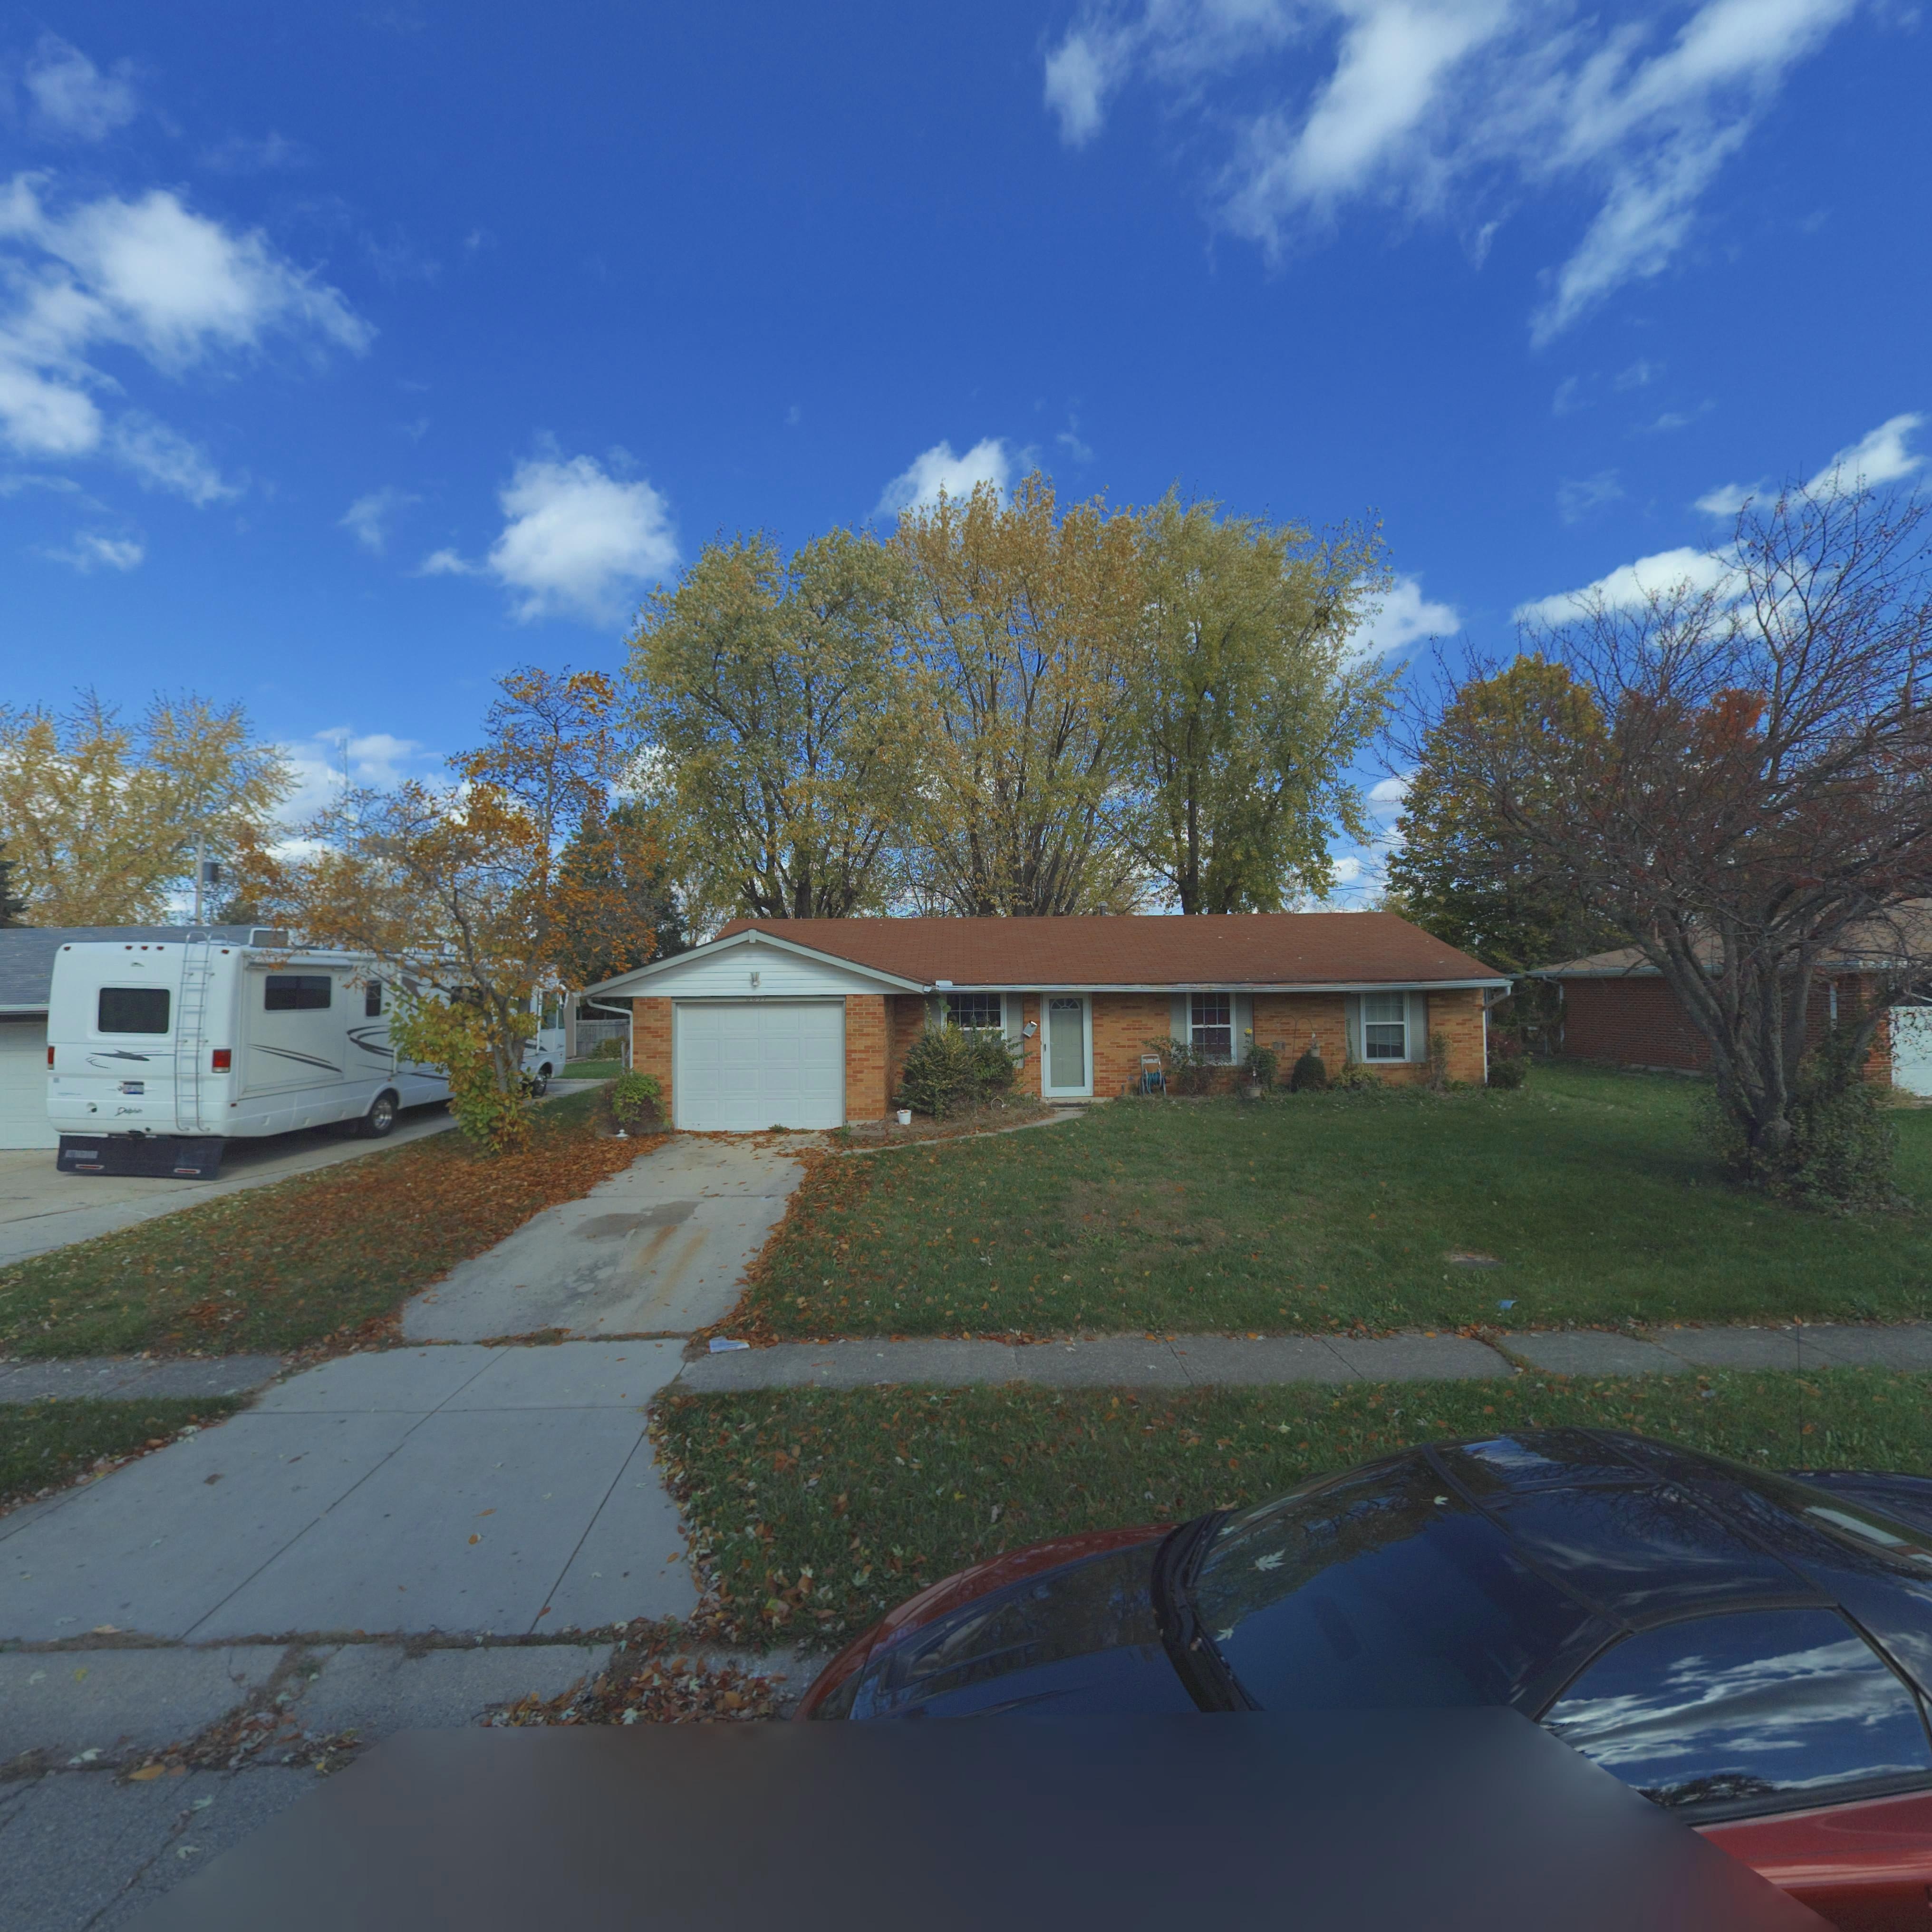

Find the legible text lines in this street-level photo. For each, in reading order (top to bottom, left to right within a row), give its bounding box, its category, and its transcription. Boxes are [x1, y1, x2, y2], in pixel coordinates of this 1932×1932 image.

[745, 995, 767, 1002] StreetNumber: 6**7